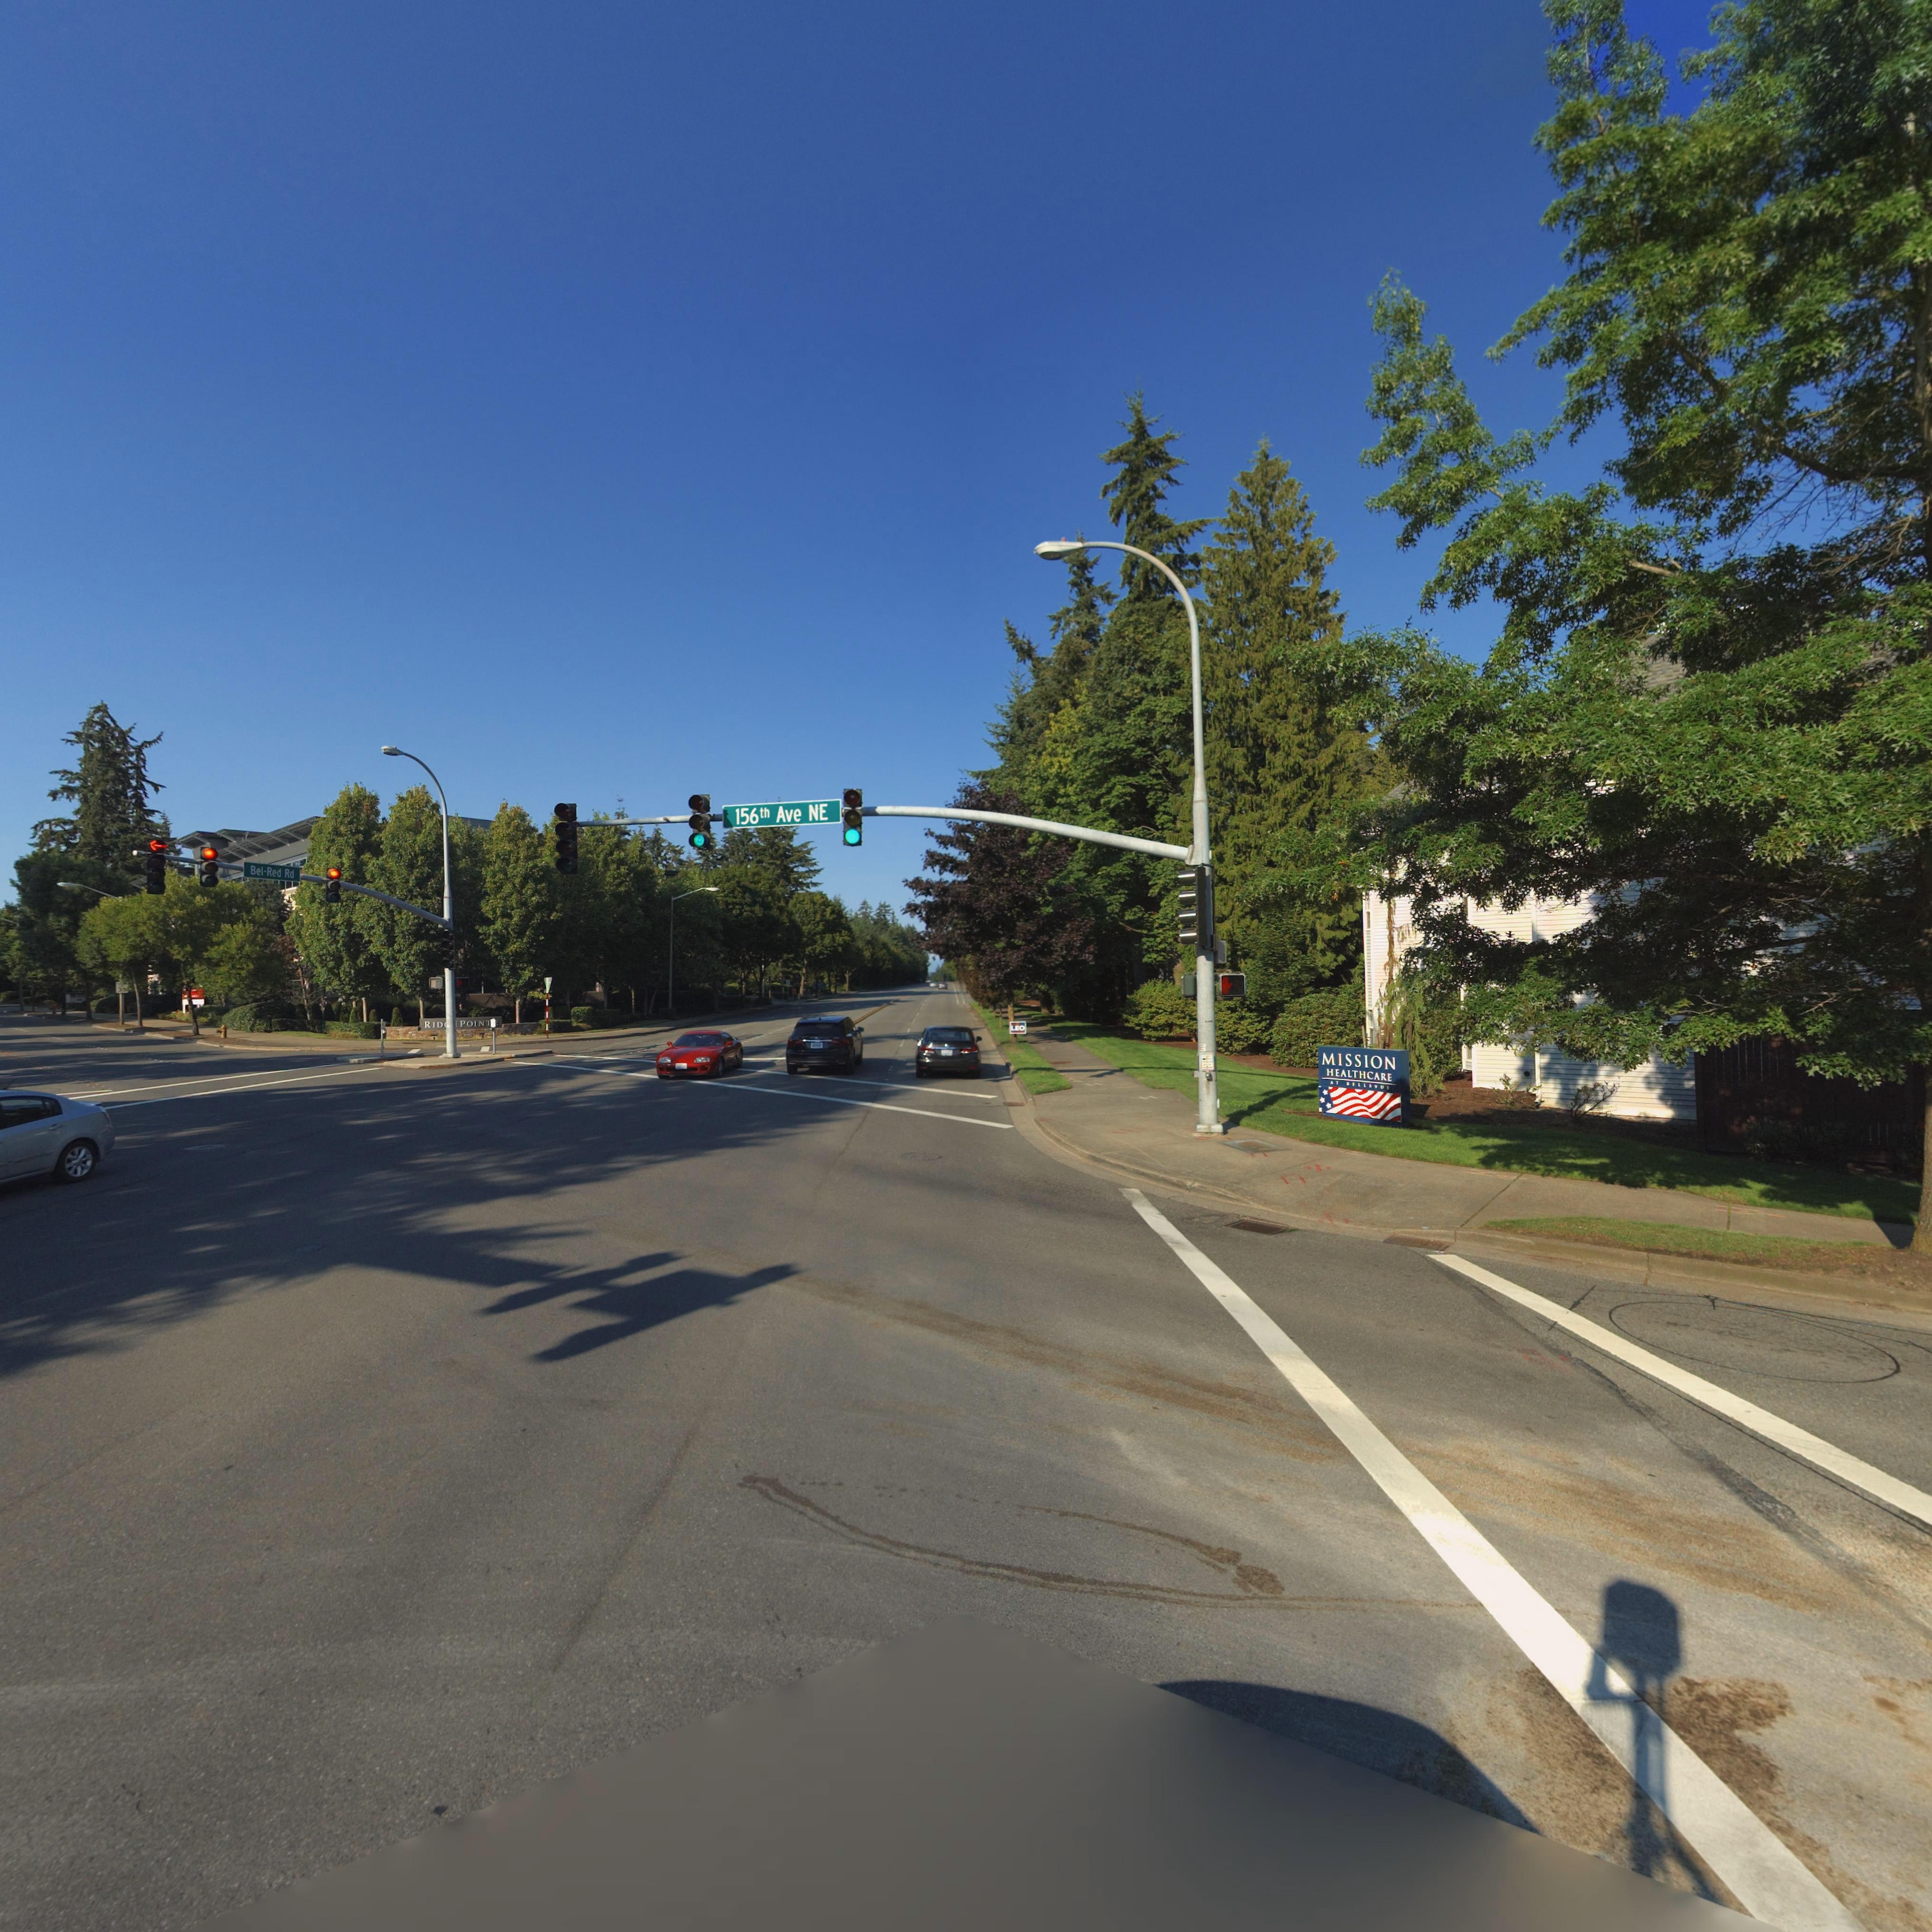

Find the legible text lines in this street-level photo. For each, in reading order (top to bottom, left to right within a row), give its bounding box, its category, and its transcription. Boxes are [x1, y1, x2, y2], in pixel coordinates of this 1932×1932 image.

[734, 802, 829, 825] StreetName: 156th Ave NE
[250, 865, 294, 879] StreetName: Bel*Red Rd
[1321, 1052, 1396, 1070] BusinessName: MISSION
[1327, 1068, 1391, 1081] BusinessName: HEALTHCARE